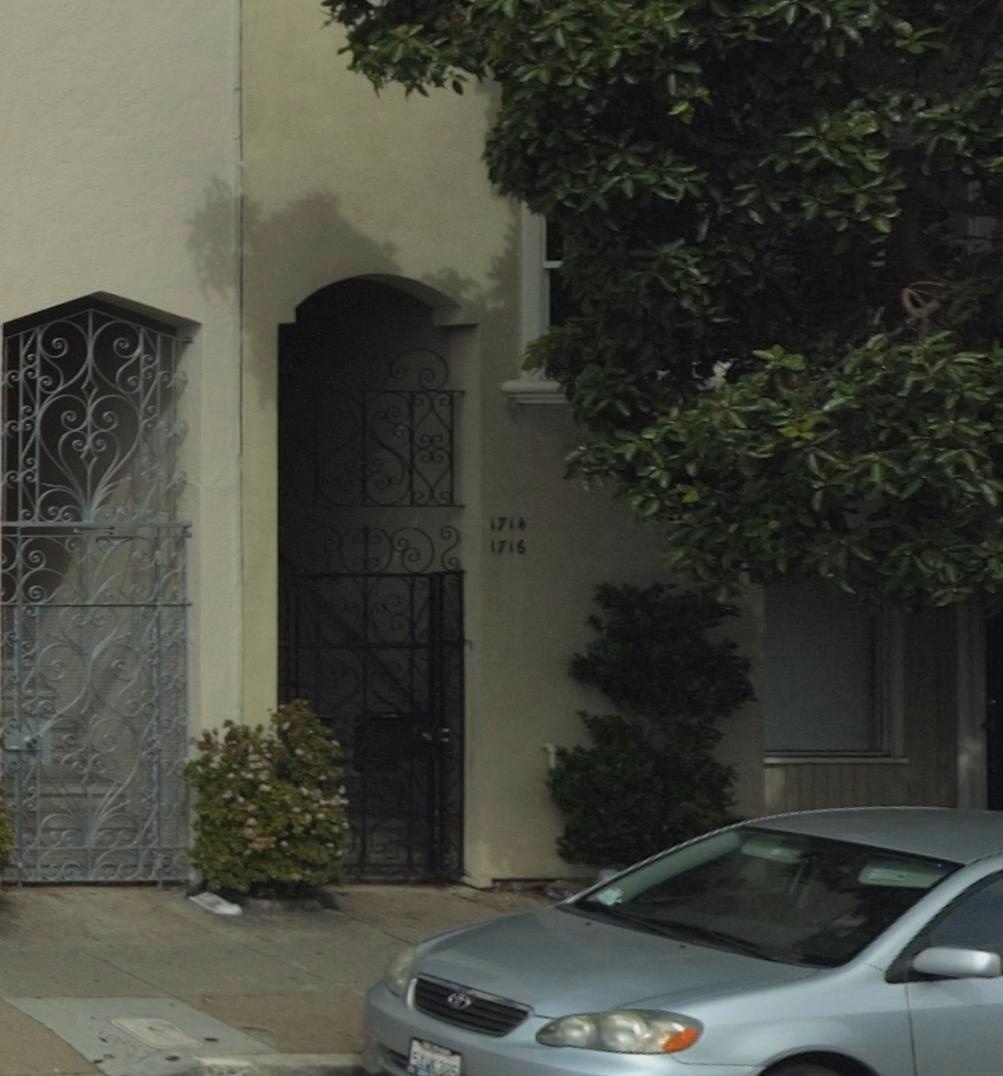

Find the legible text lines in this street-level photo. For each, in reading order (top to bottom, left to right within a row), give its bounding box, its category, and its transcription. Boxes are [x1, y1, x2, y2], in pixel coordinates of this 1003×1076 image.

[488, 515, 527, 532] StreetNumber: 1714
[489, 537, 526, 555] StreetNumber: 1716